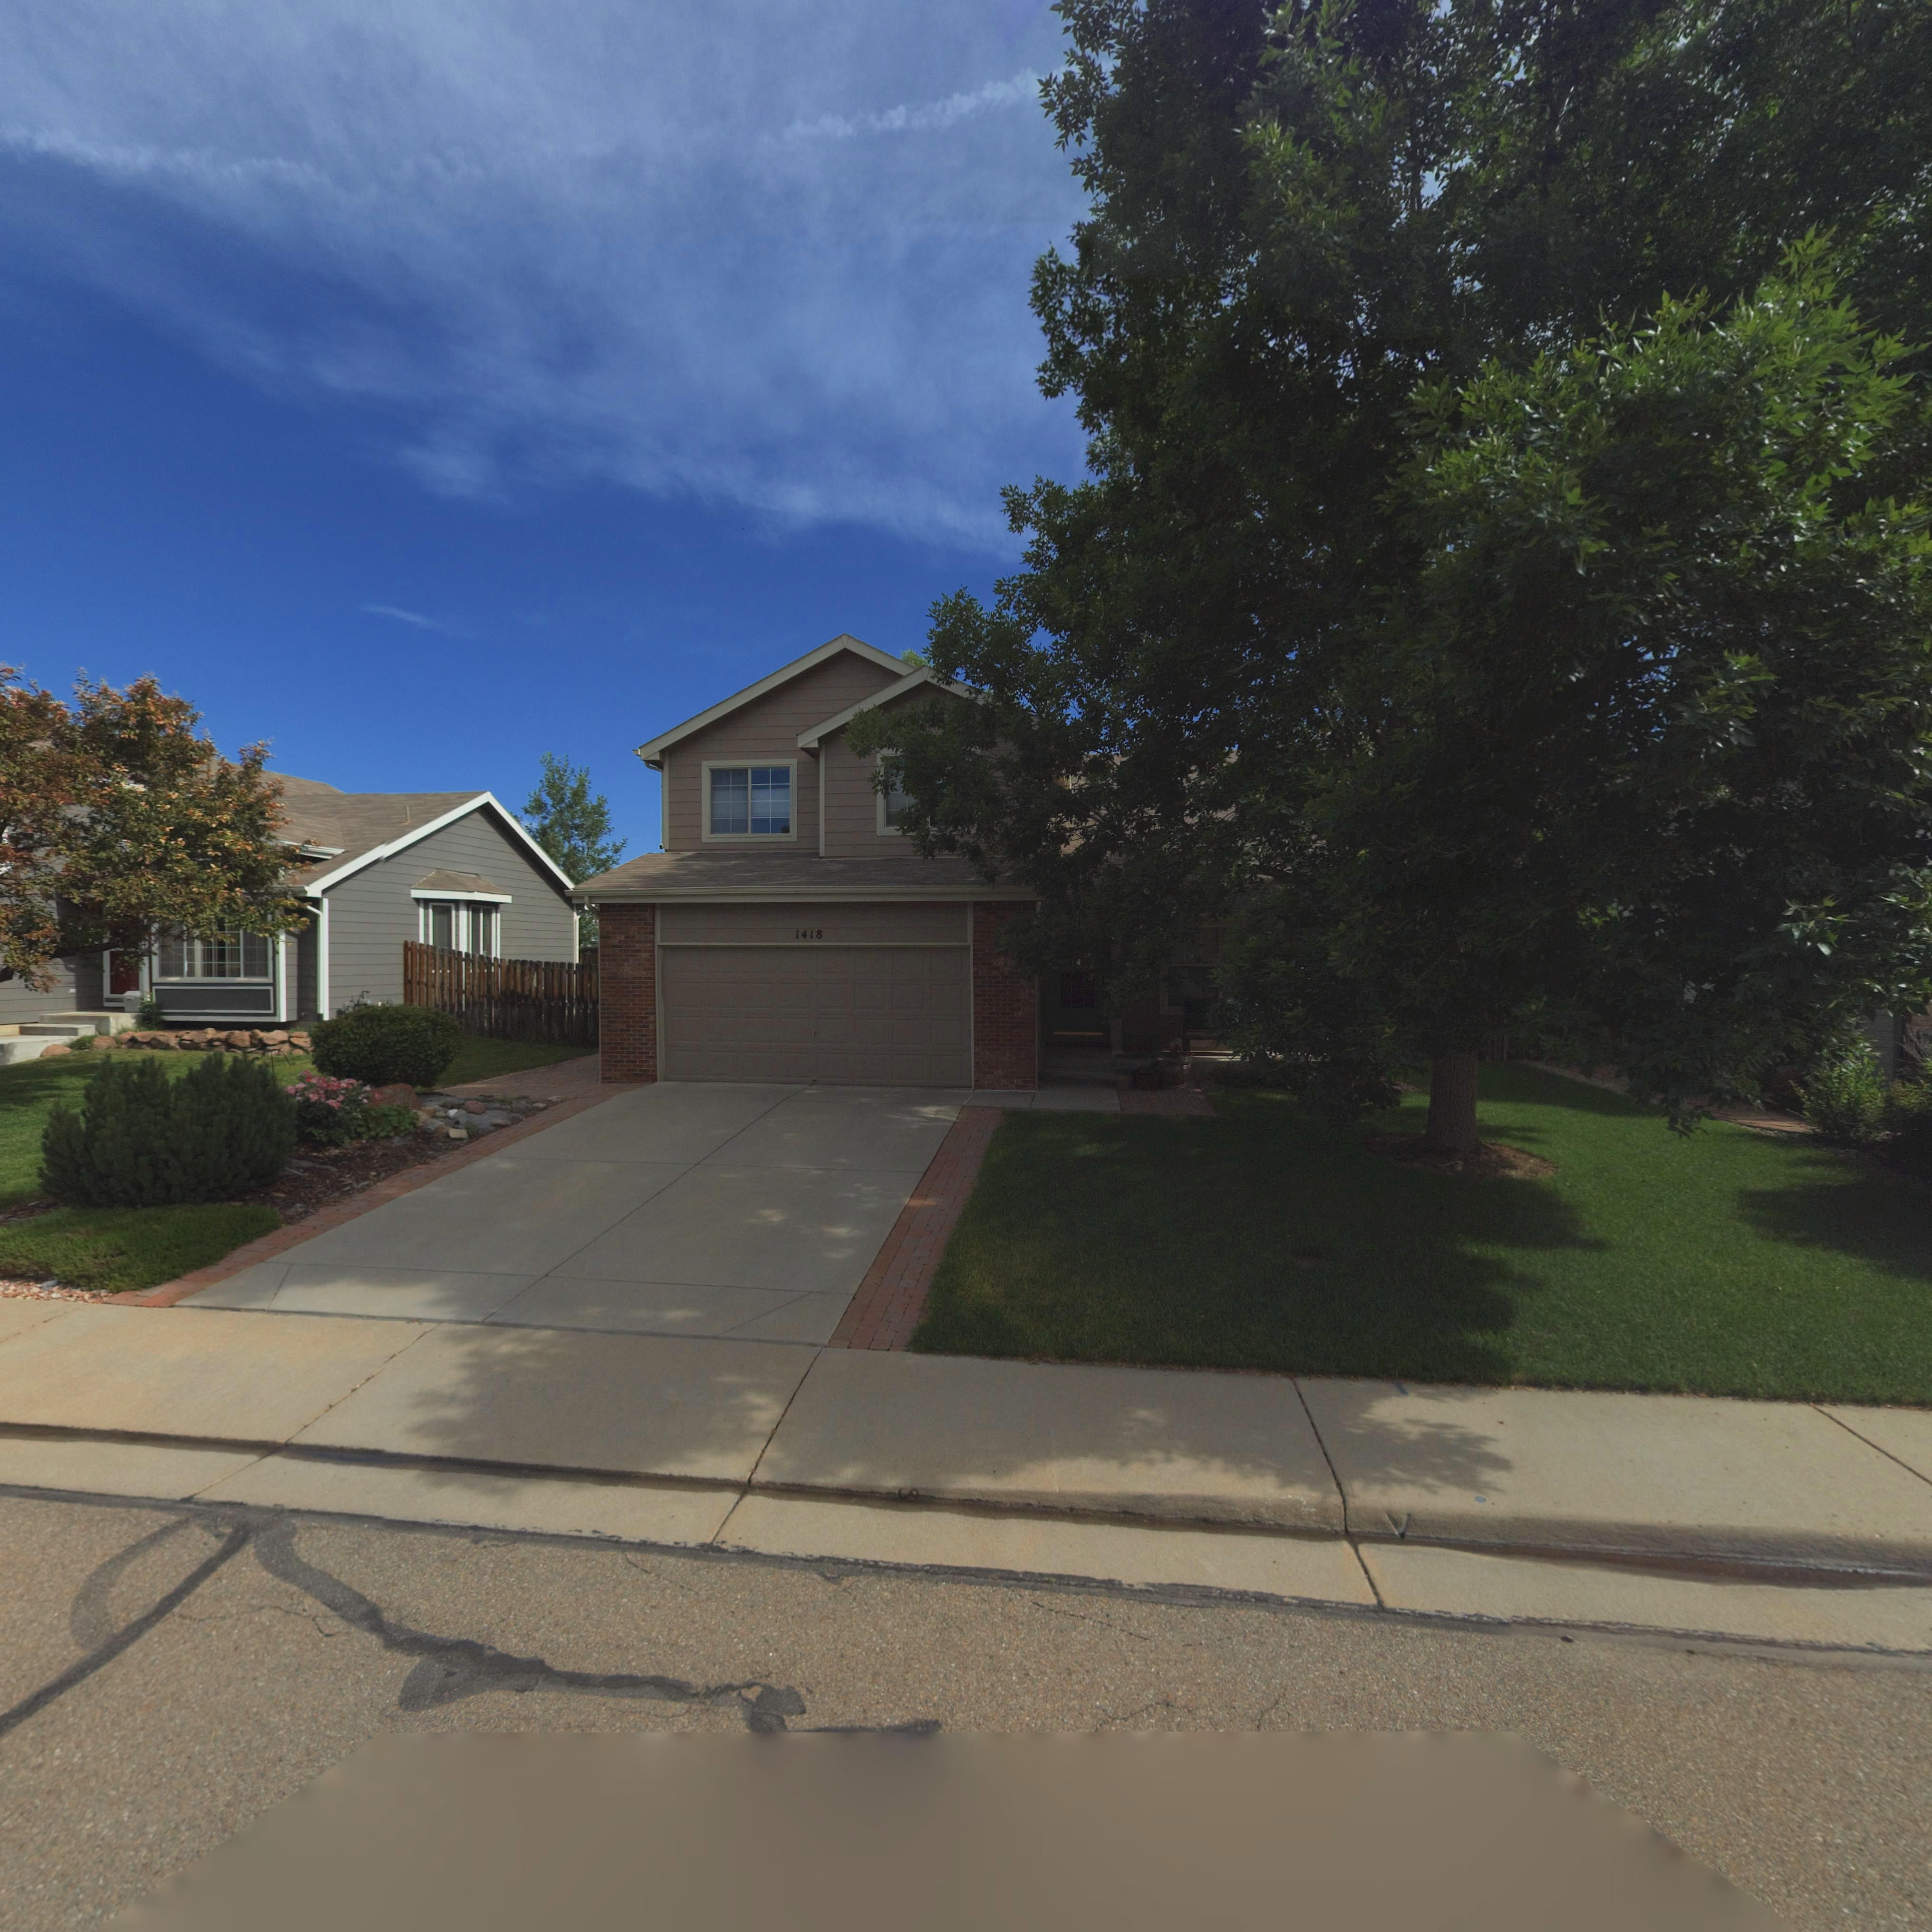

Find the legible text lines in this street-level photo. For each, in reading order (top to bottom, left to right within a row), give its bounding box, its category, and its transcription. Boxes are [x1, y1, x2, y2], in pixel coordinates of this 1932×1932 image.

[795, 929, 822, 939] StreetNumber: 1418